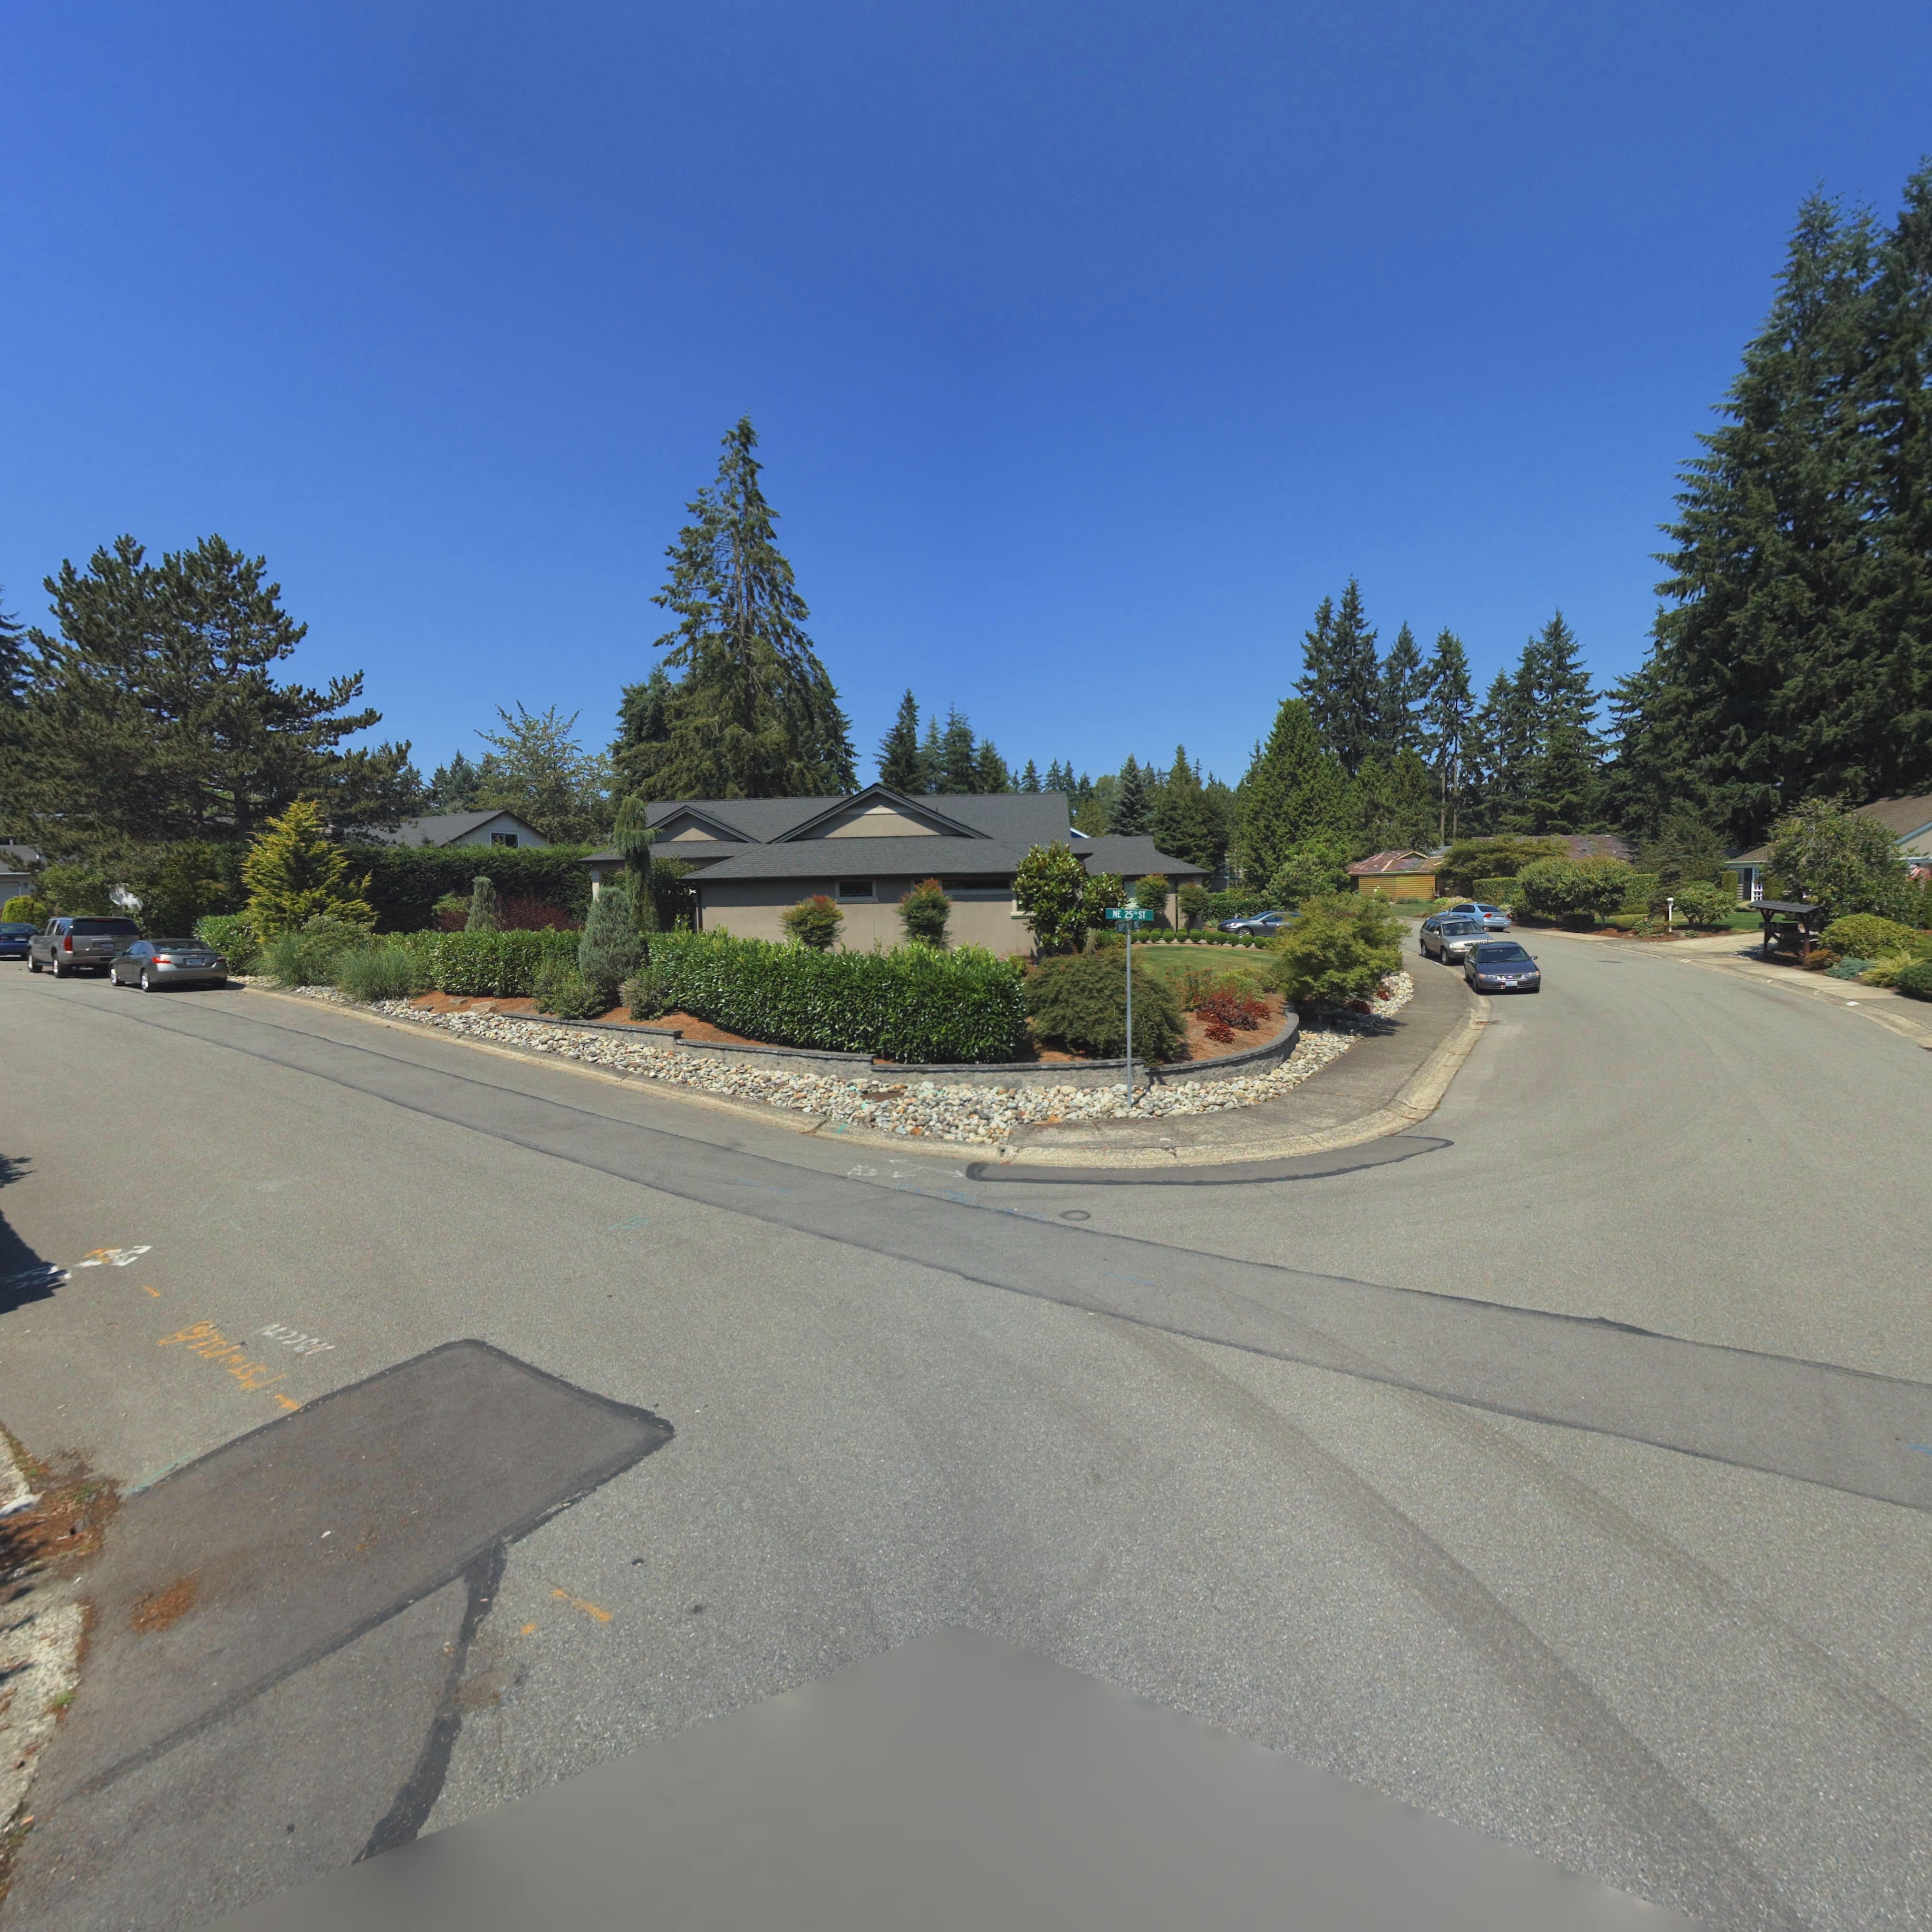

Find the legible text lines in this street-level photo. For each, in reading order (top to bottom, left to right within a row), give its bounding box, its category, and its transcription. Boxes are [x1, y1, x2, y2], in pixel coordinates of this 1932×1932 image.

[1112, 910, 1146, 918] StreetName: NE 25** ST